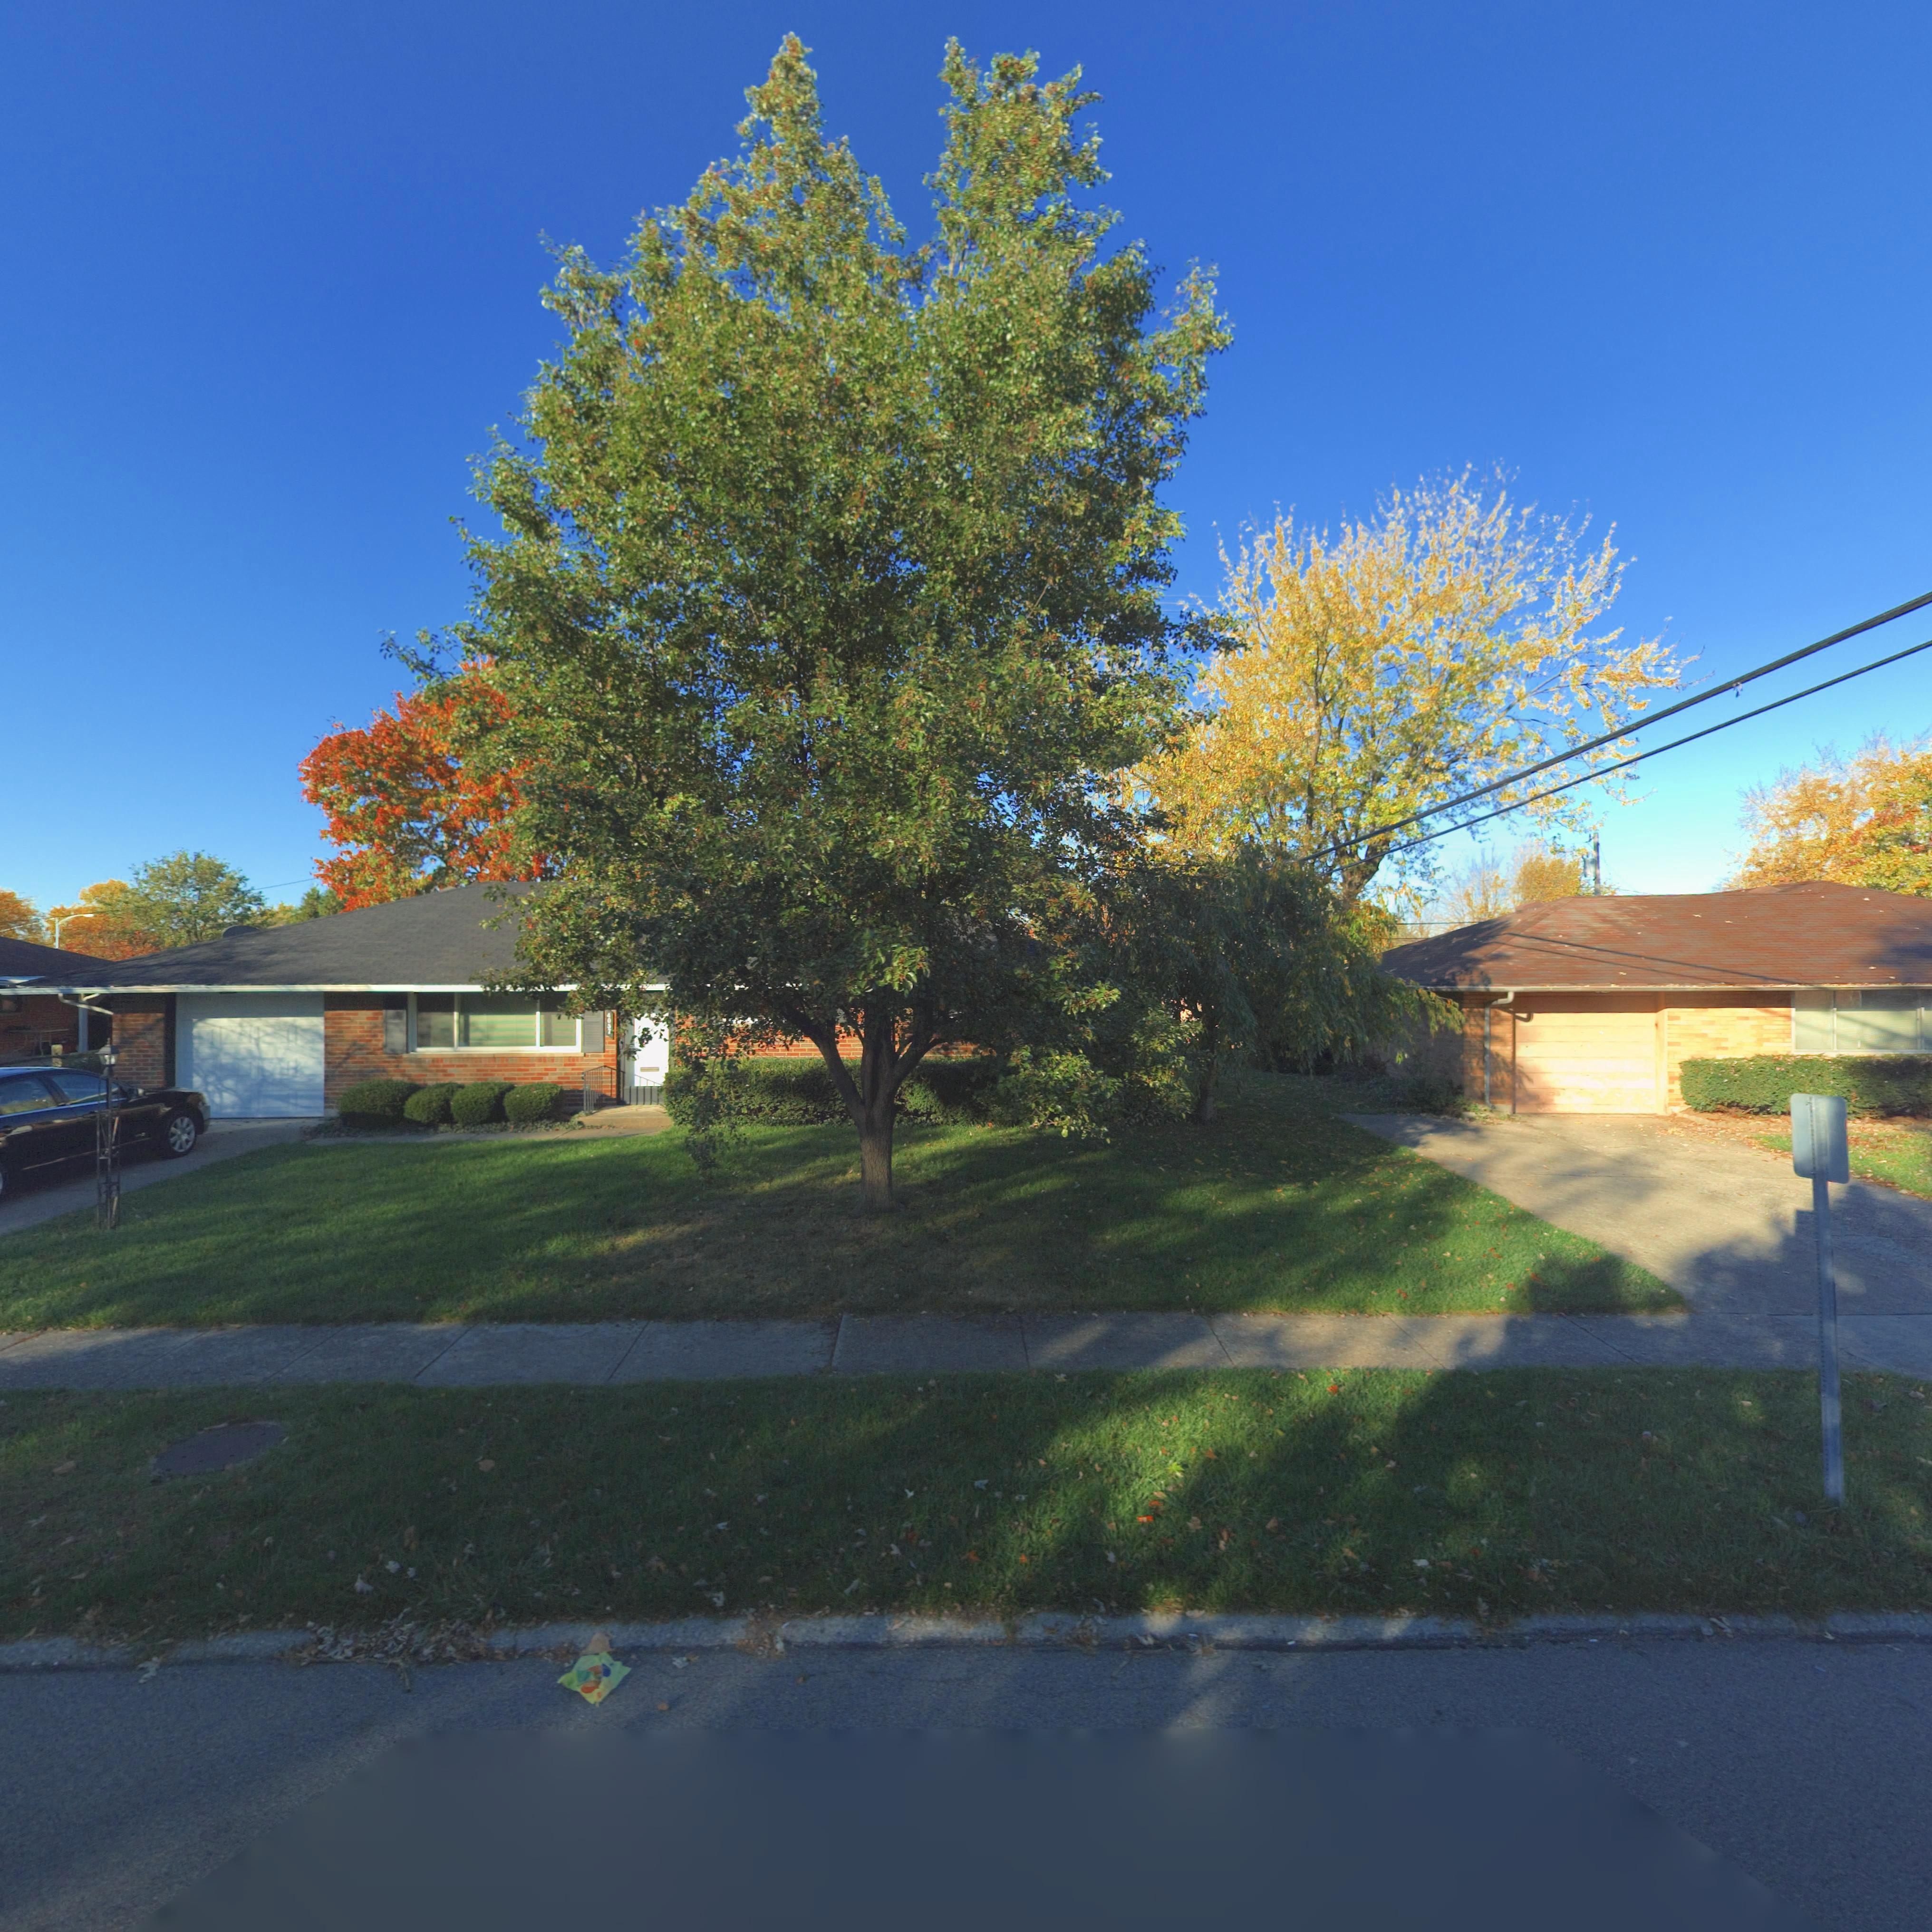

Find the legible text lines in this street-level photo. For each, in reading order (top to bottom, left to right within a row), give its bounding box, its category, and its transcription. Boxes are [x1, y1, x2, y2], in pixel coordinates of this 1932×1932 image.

[606, 1012, 612, 1035] StreetNumber: 4057